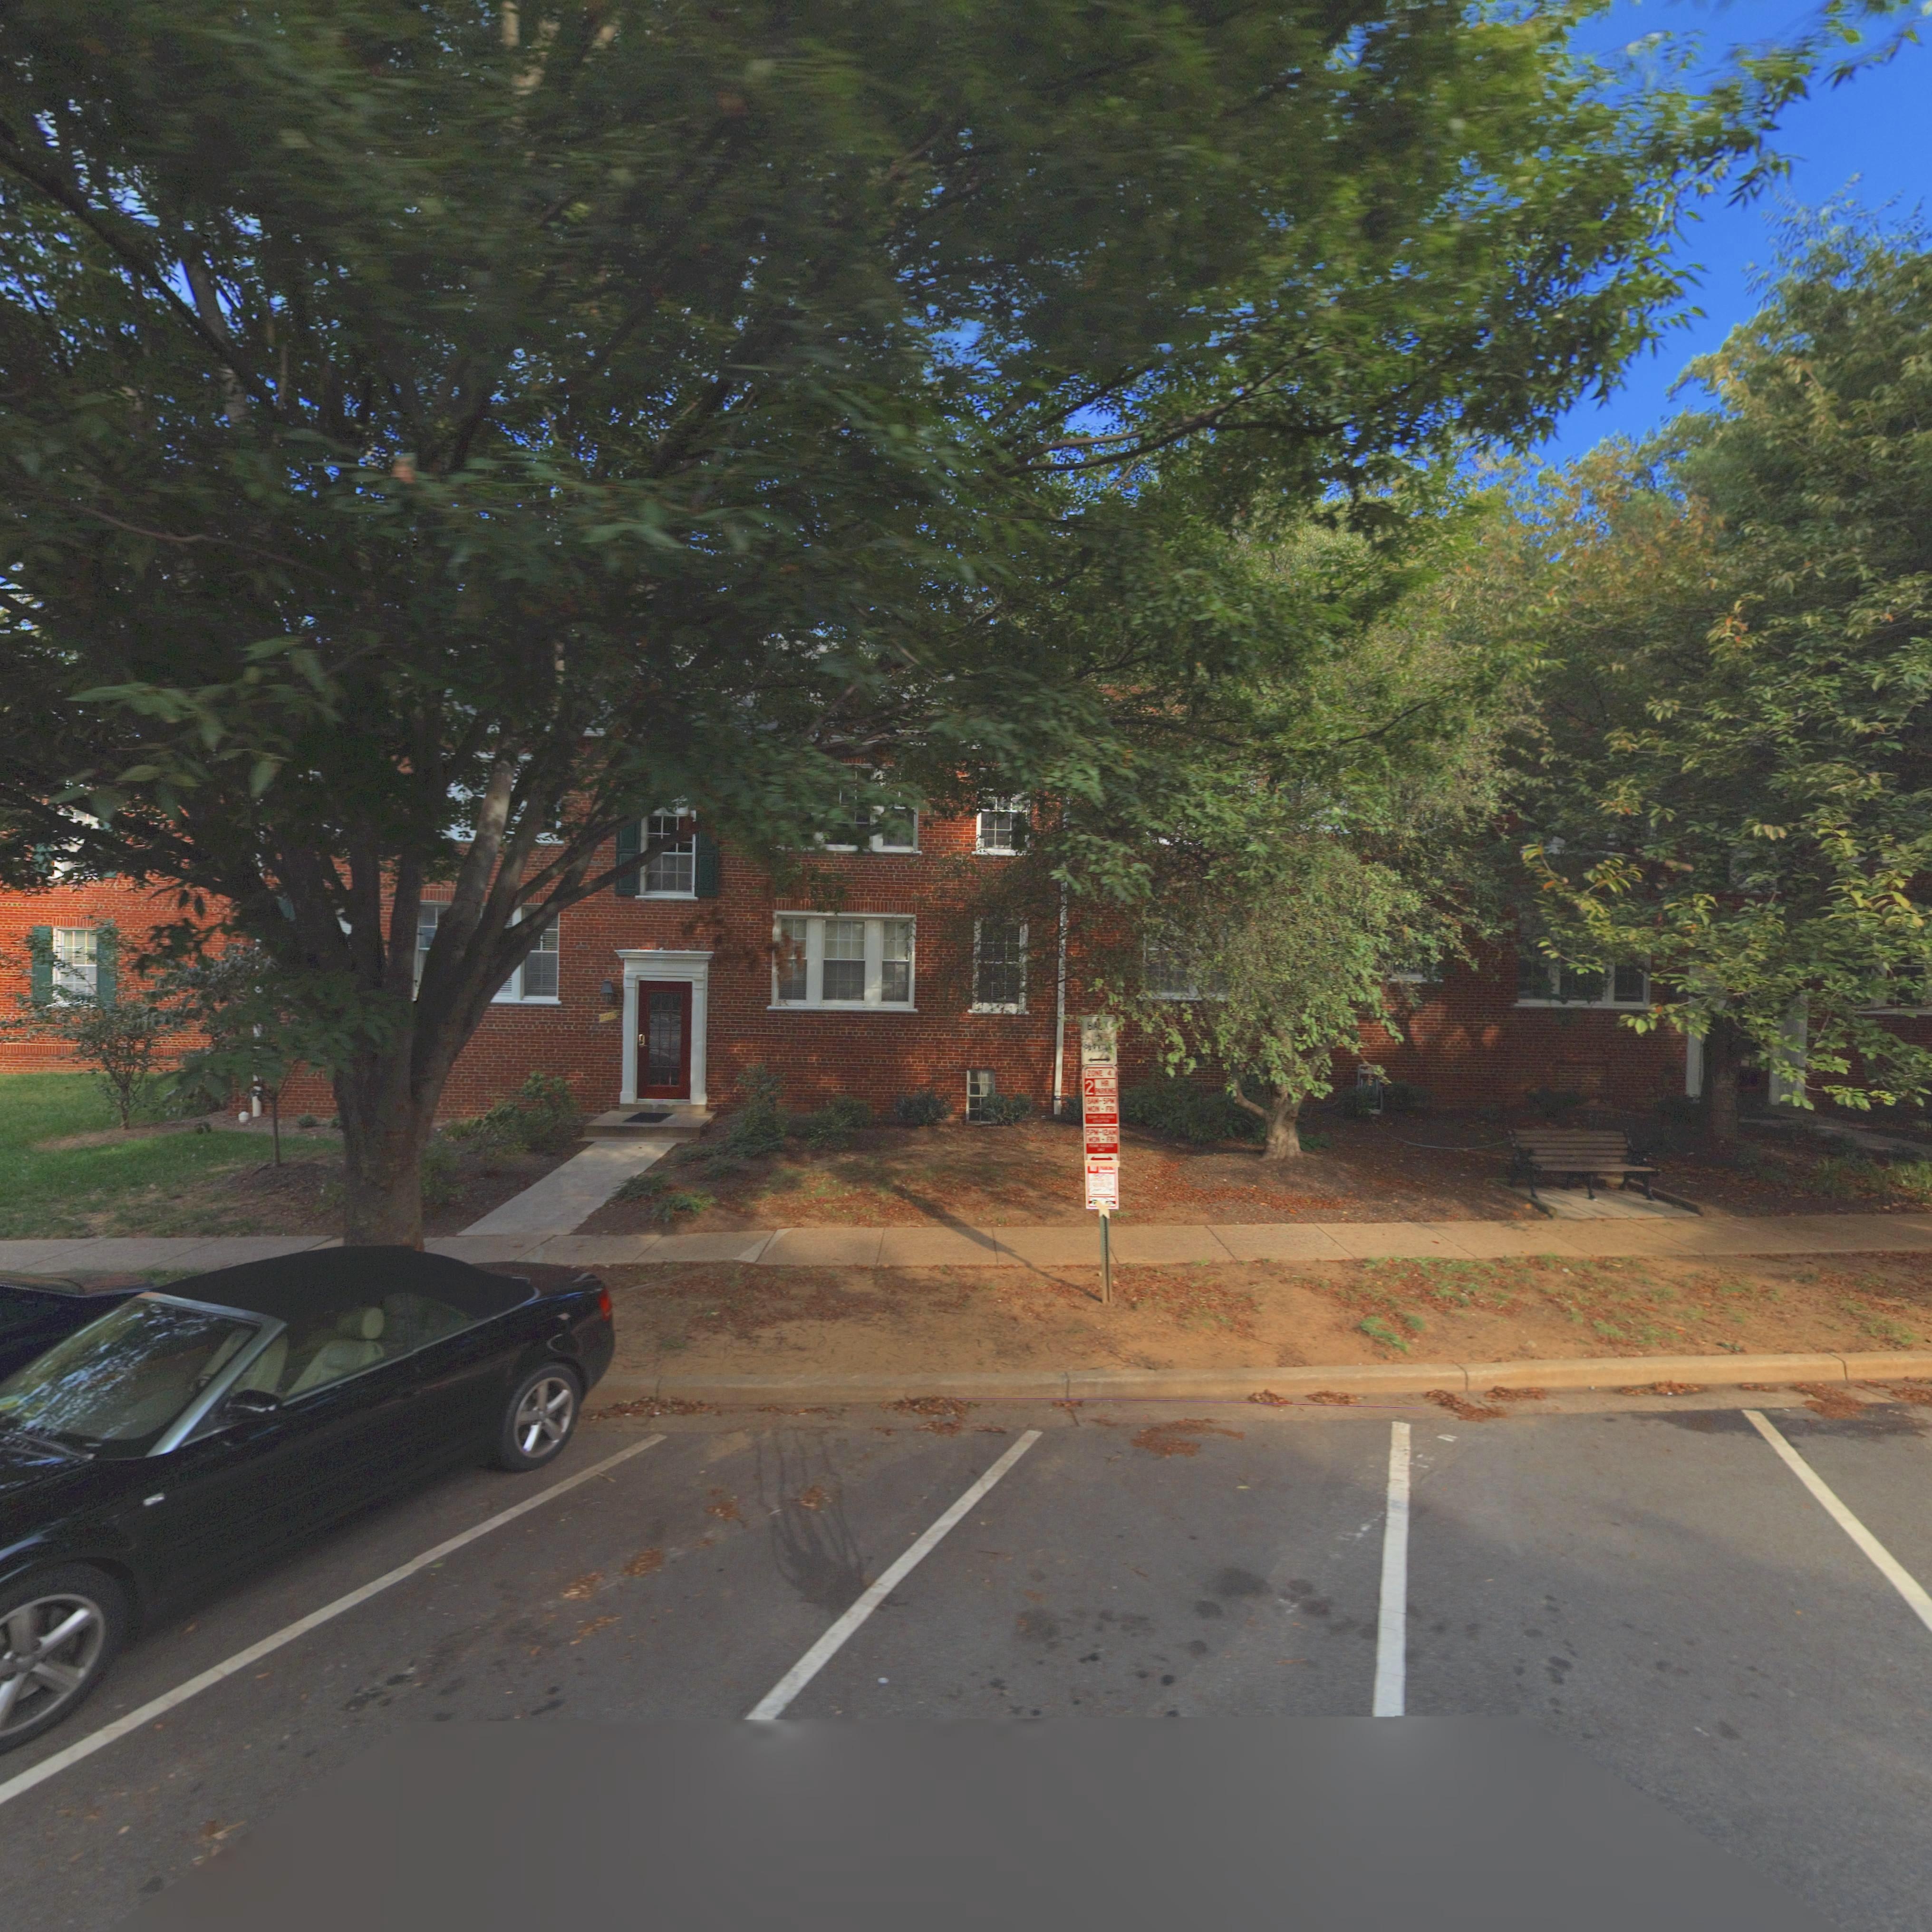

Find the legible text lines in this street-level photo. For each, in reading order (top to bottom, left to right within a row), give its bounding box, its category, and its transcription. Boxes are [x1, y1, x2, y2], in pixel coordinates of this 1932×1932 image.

[1085, 1069, 1113, 1077] None: Z**E 4
[1083, 1079, 1096, 1096] None: 2
[1088, 1097, 1112, 1105] None: A*-5P
[1090, 1105, 1116, 1113] None: ON-FRI
[1089, 1129, 1113, 1138] None: PM-*2A
[1091, 1136, 1116, 1144] None: O*-FRI